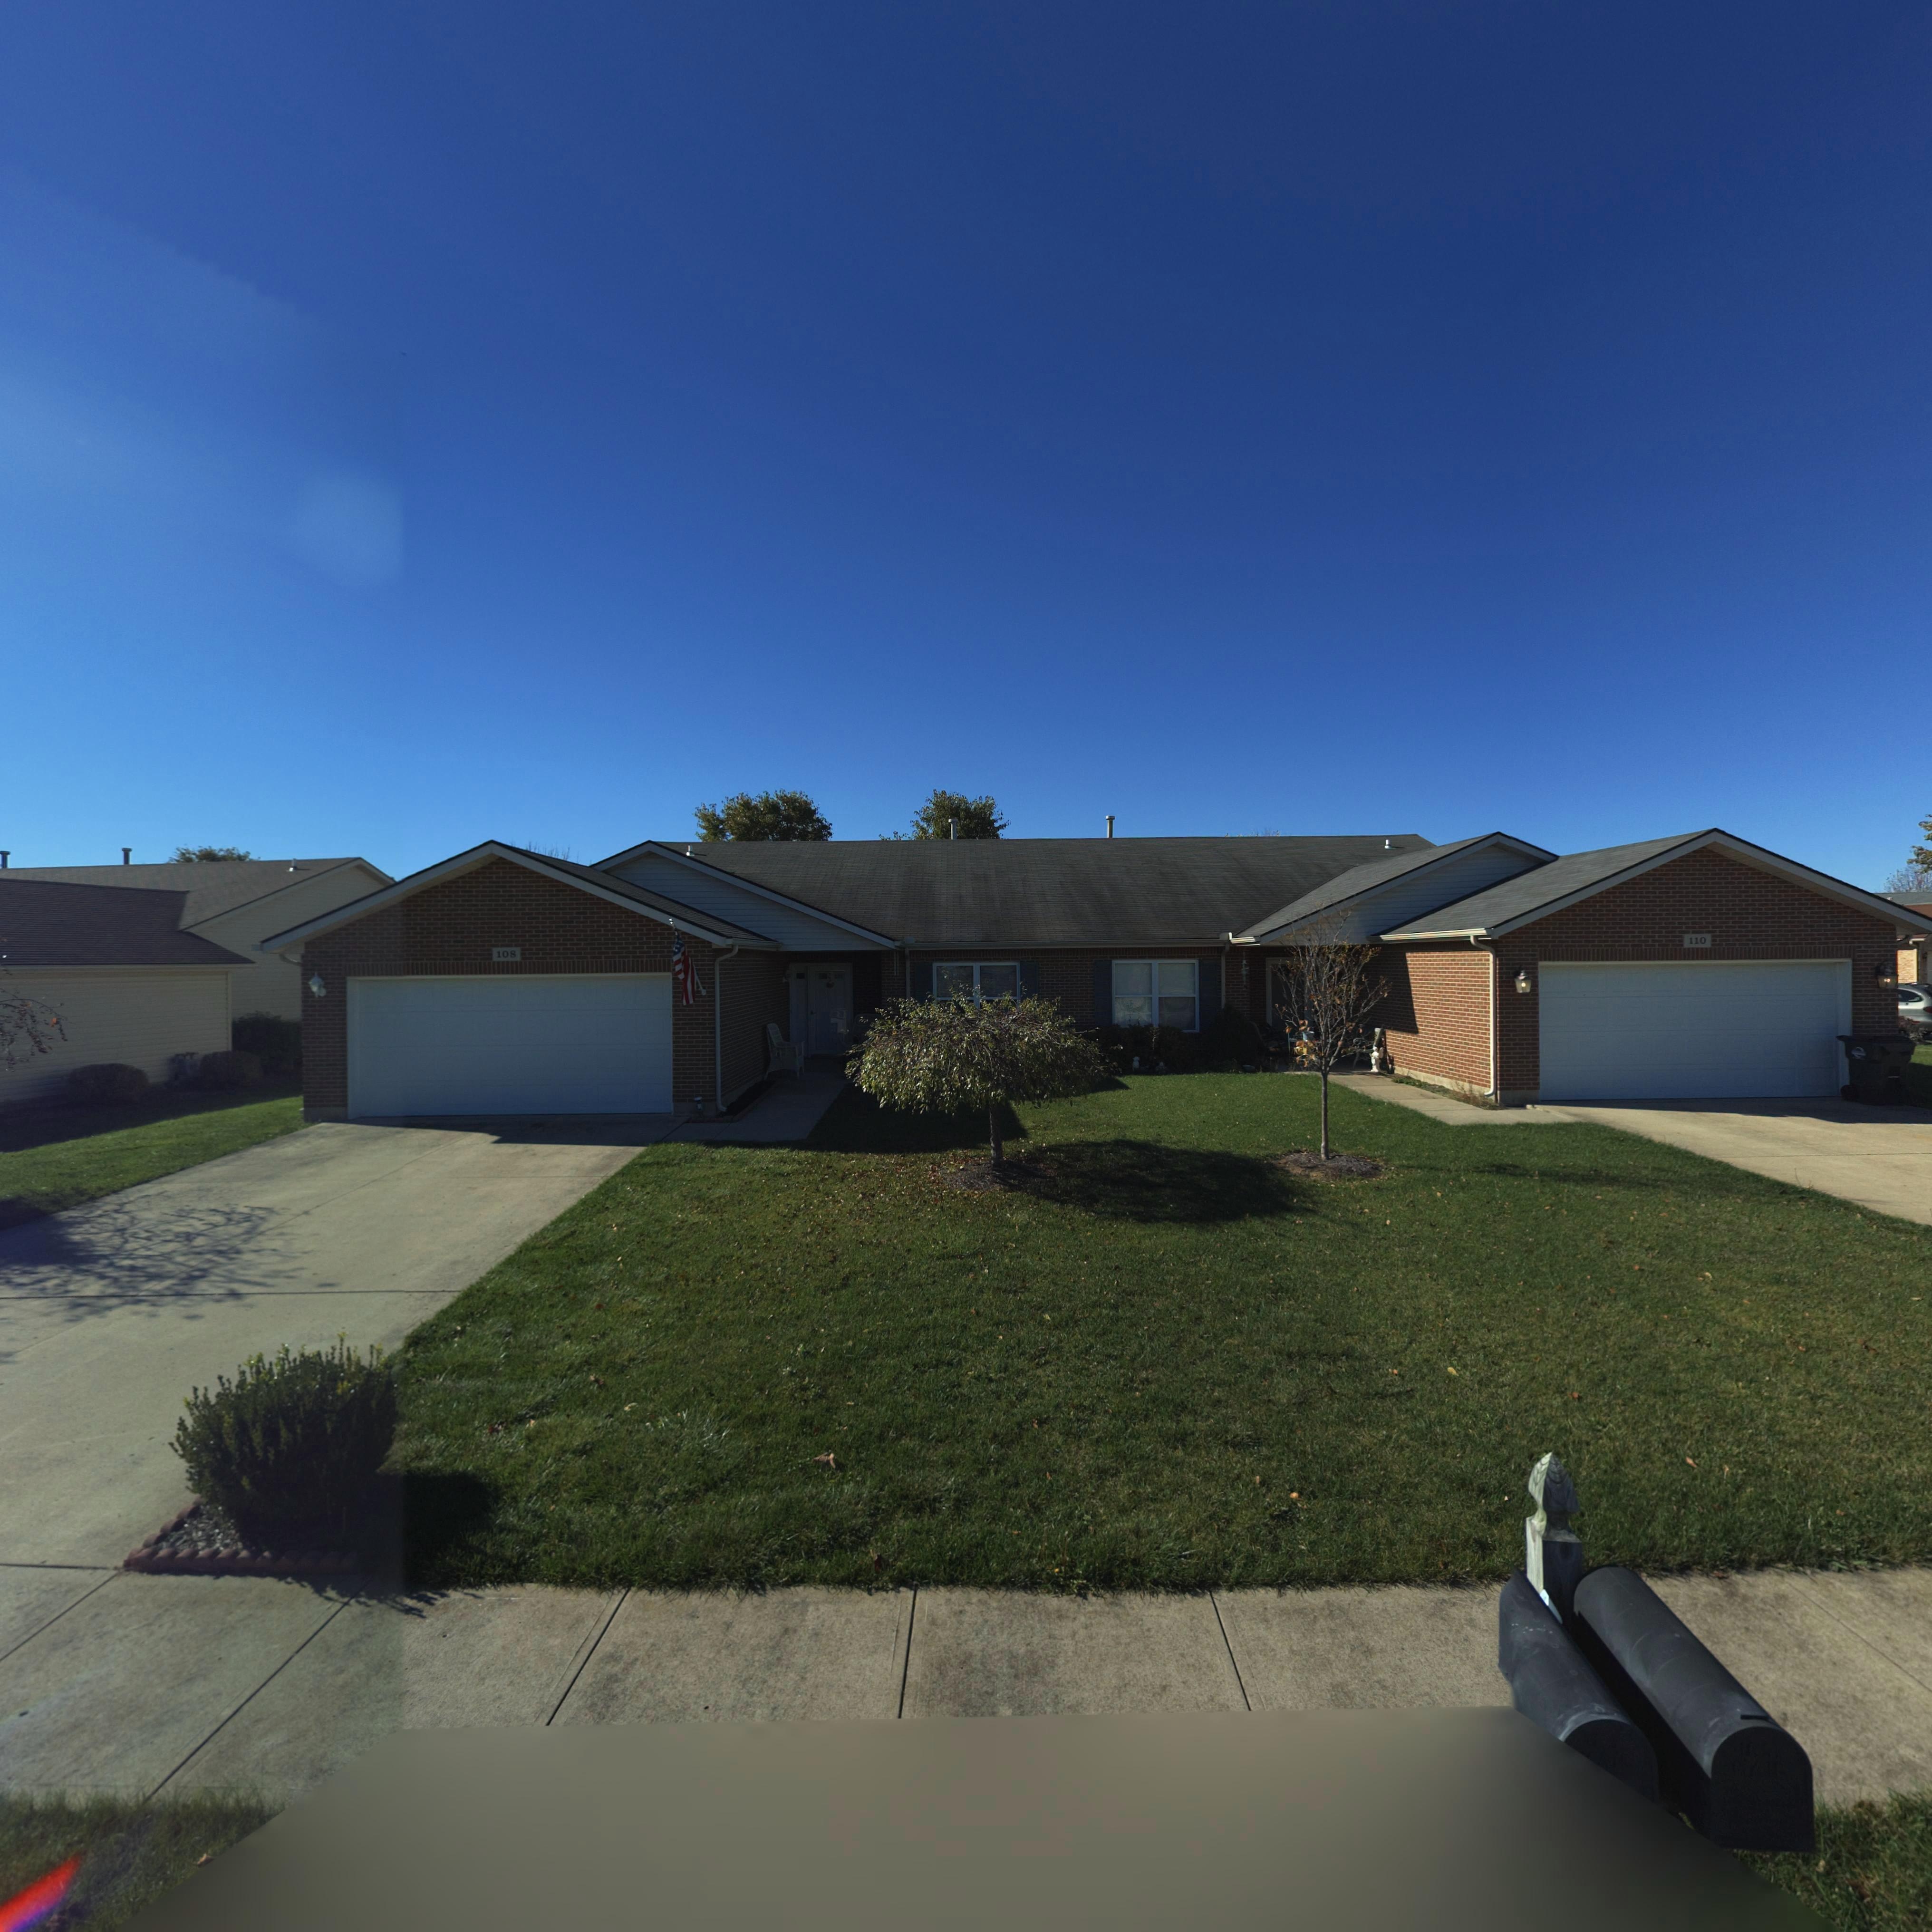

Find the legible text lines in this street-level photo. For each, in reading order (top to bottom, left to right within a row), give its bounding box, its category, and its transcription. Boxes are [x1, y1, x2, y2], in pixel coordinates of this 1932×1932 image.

[1689, 936, 1706, 945] StreetNumber: 110
[496, 950, 517, 958] StreetNumber: 108